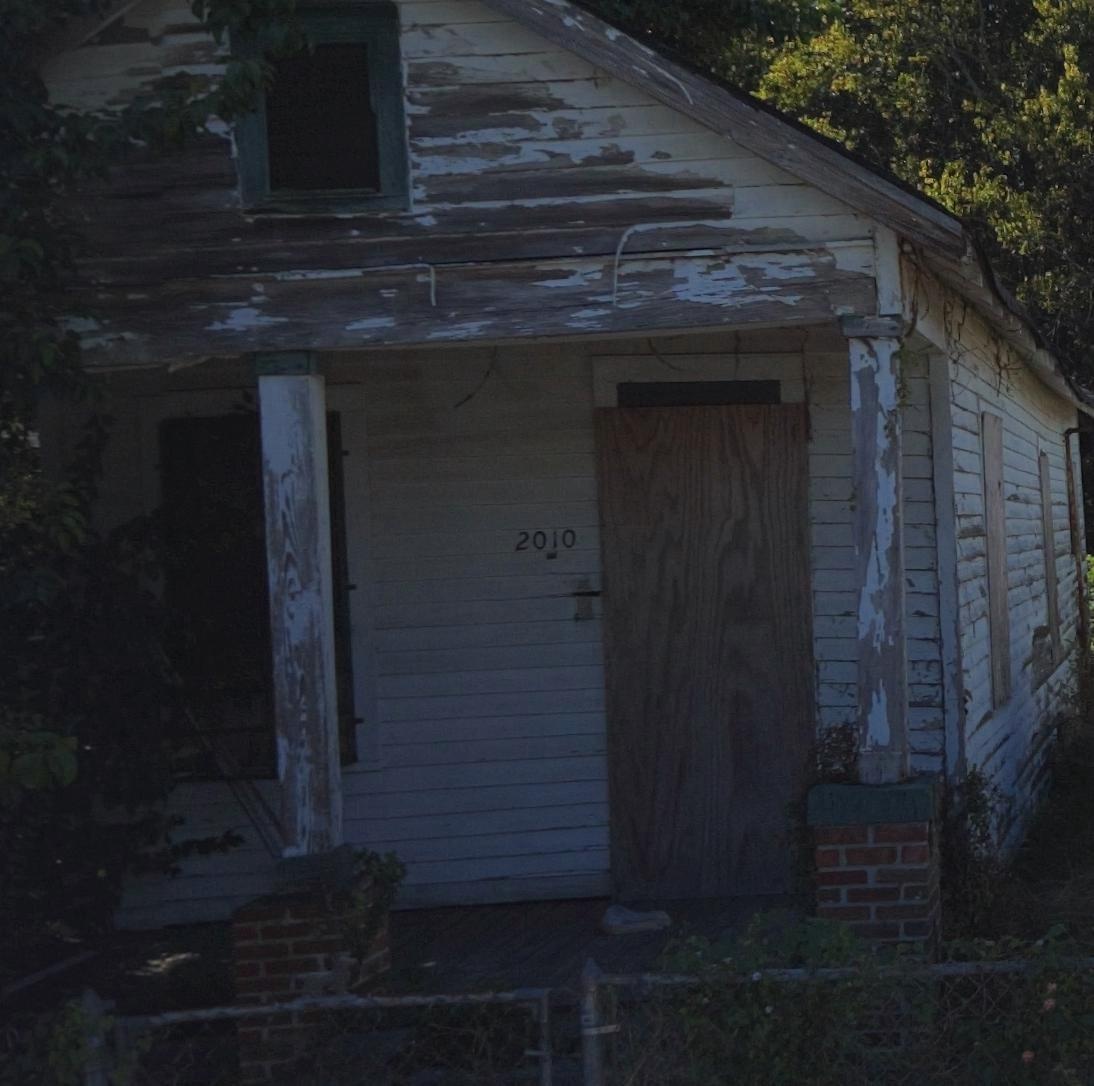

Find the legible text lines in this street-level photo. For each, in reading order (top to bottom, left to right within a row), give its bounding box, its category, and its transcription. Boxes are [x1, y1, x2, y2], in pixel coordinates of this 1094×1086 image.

[512, 525, 578, 554] StreetNumber: 2010